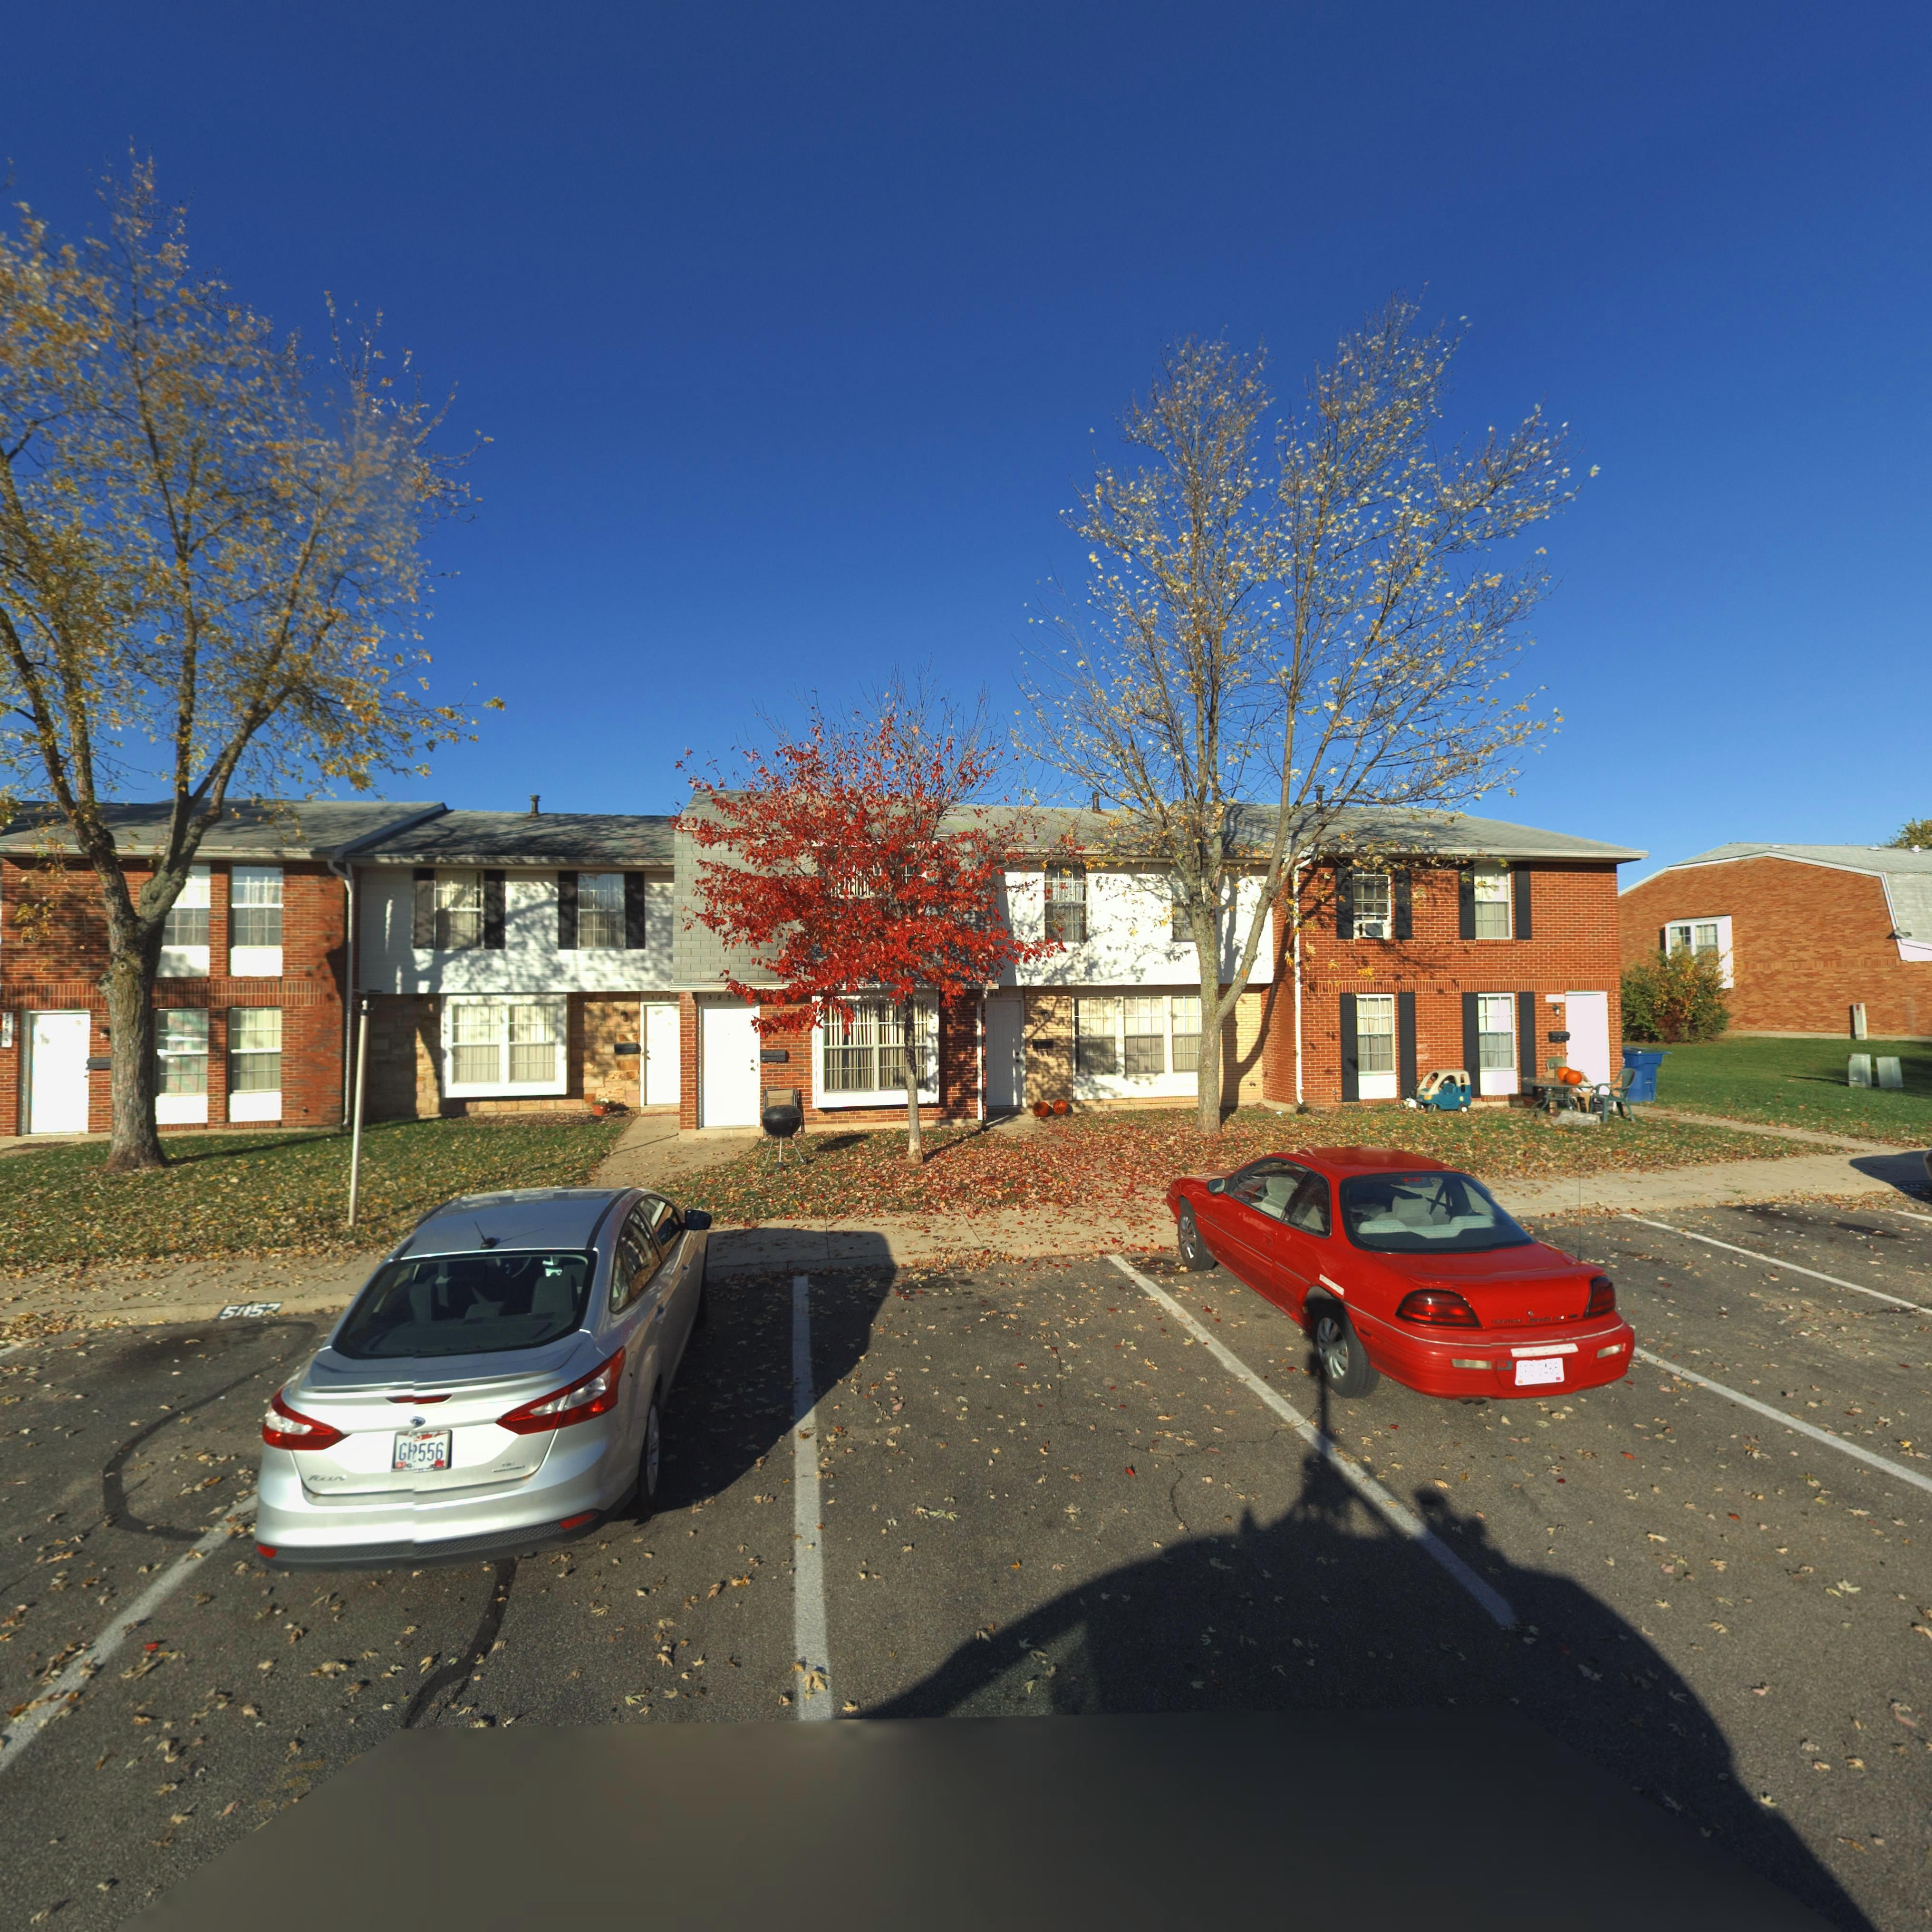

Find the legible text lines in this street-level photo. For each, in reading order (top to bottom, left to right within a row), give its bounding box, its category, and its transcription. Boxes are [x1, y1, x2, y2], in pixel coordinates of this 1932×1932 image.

[650, 994, 680, 1002] StreetNumber: 5857
[706, 992, 742, 1001] StreetNumber: 5859
[988, 990, 1003, 998] StreetNumber: 861
[217, 1302, 284, 1322] StreetNumber: 5*5*